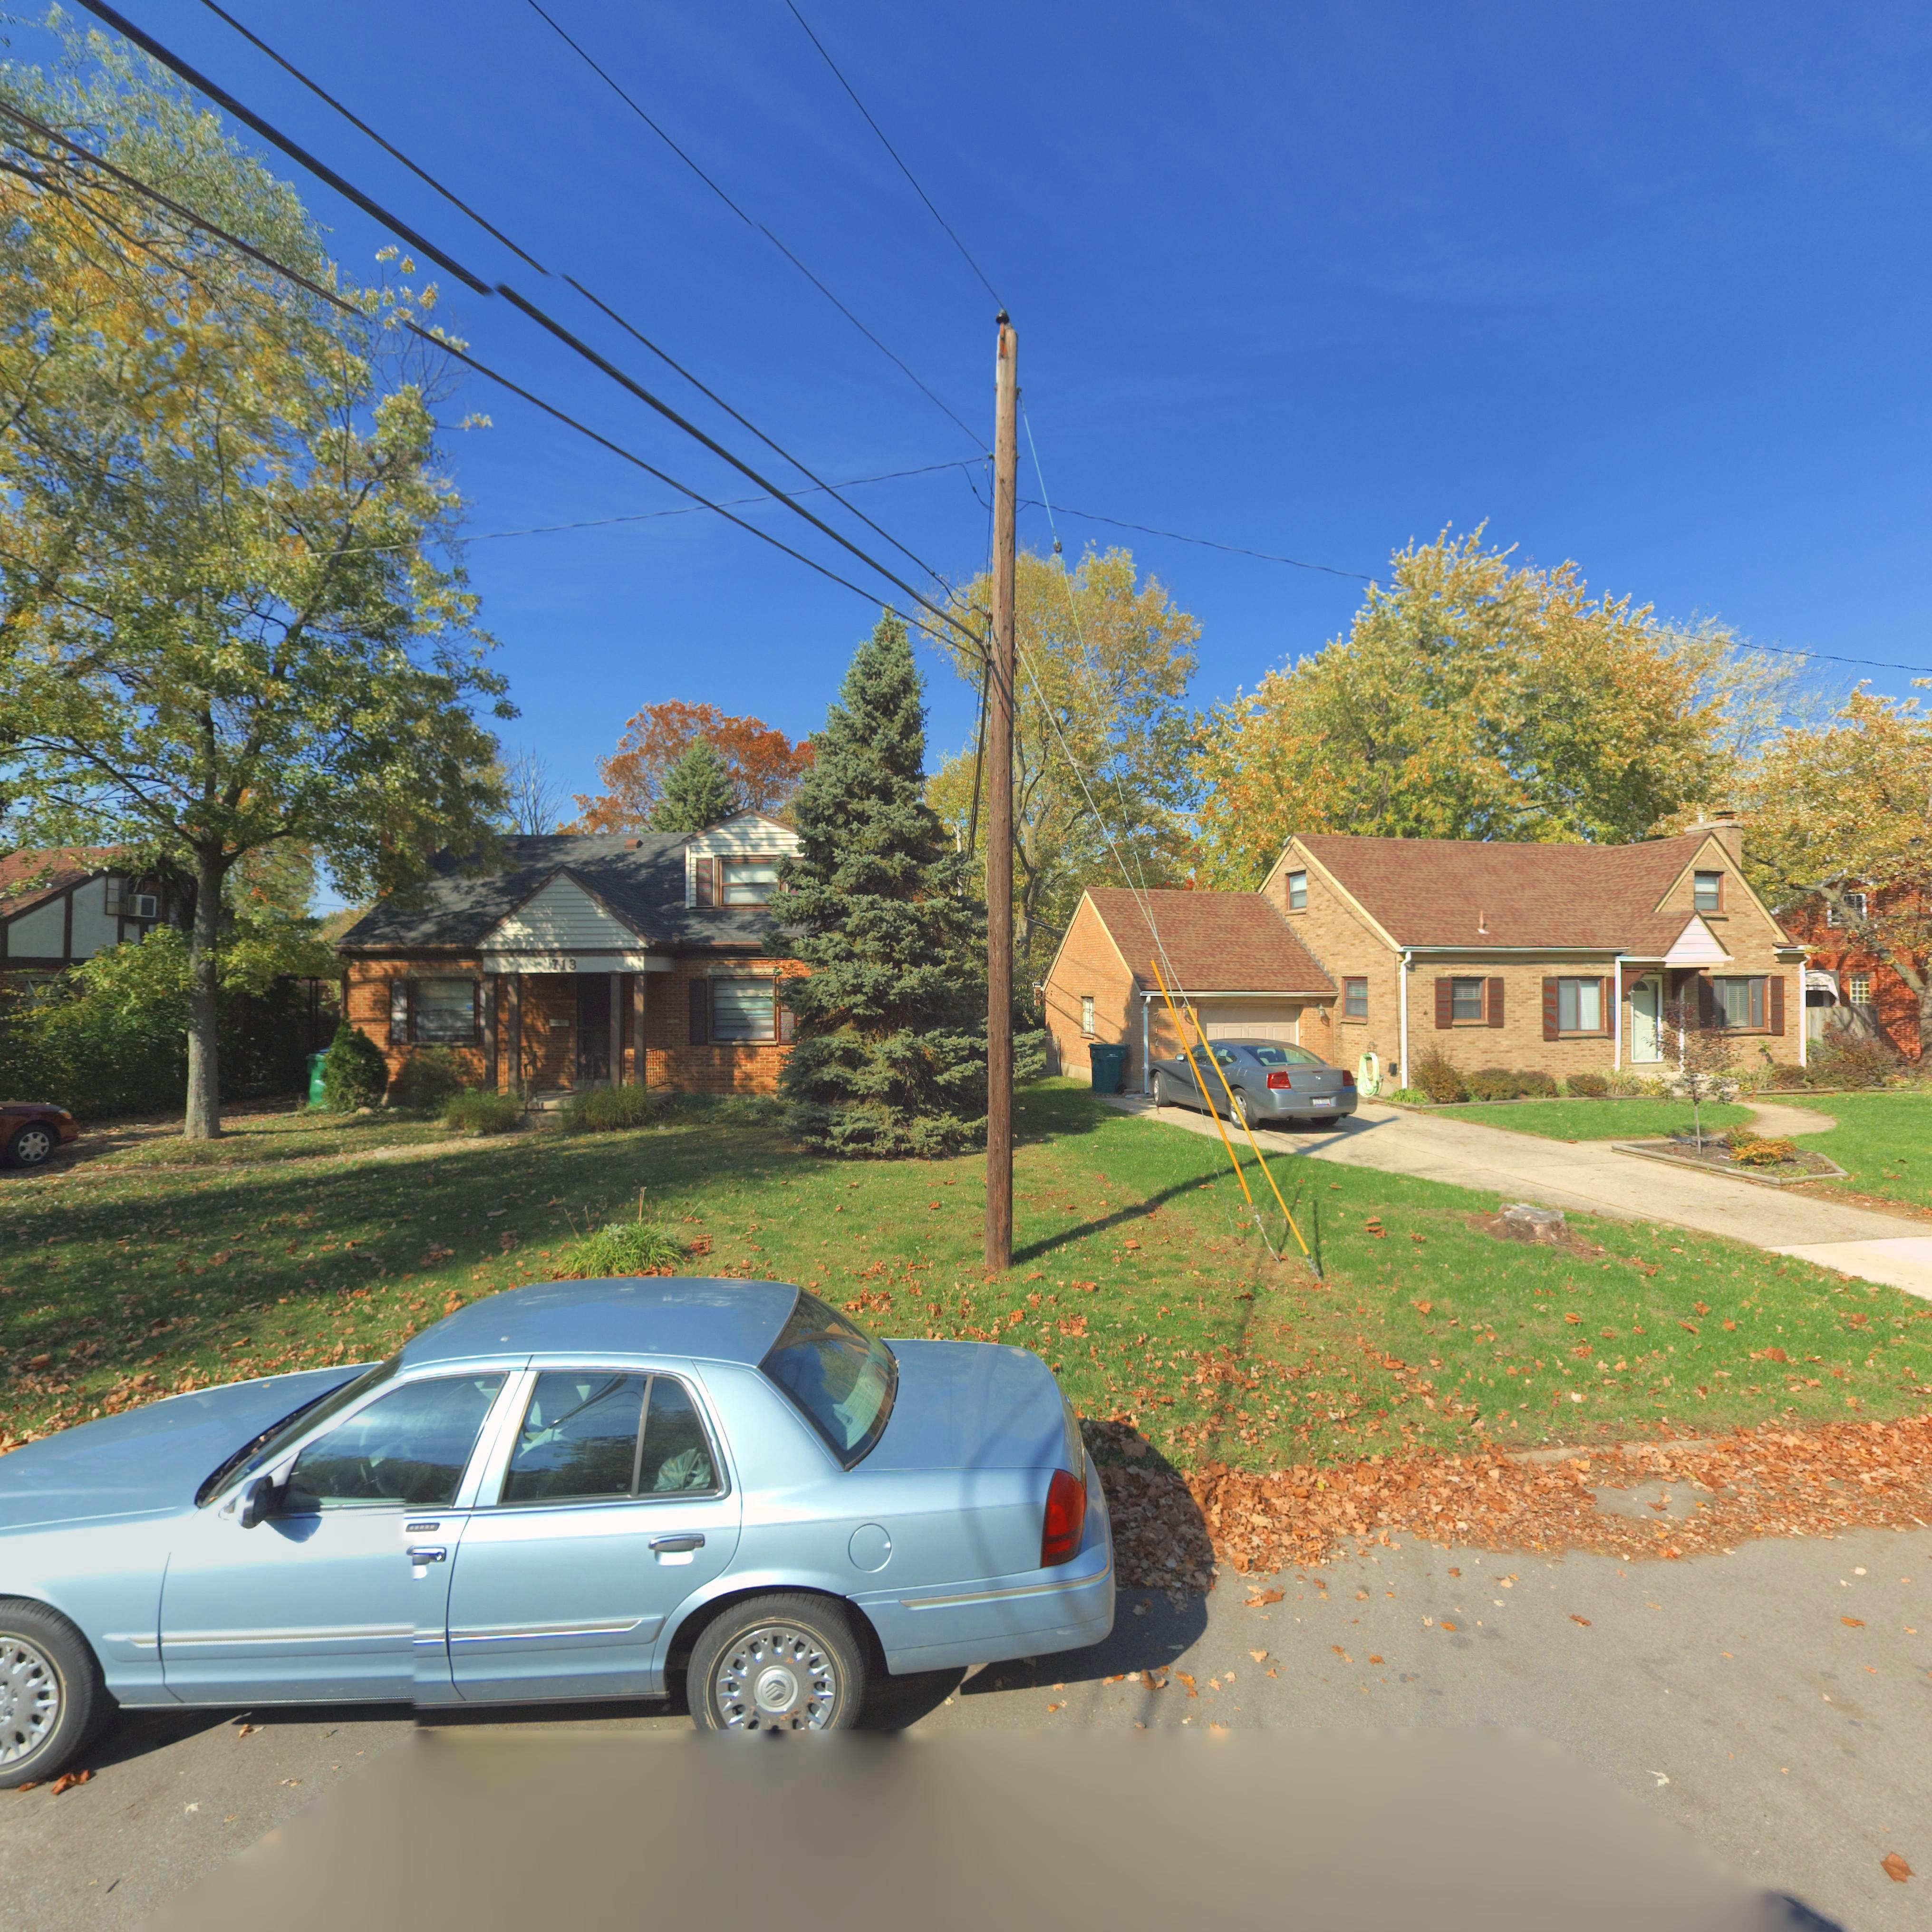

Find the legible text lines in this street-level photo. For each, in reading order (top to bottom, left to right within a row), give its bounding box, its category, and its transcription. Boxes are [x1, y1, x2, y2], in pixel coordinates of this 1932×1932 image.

[551, 957, 578, 971] StreetNumber: 713
[1152, 1011, 1161, 1047] StreetNumber: 717